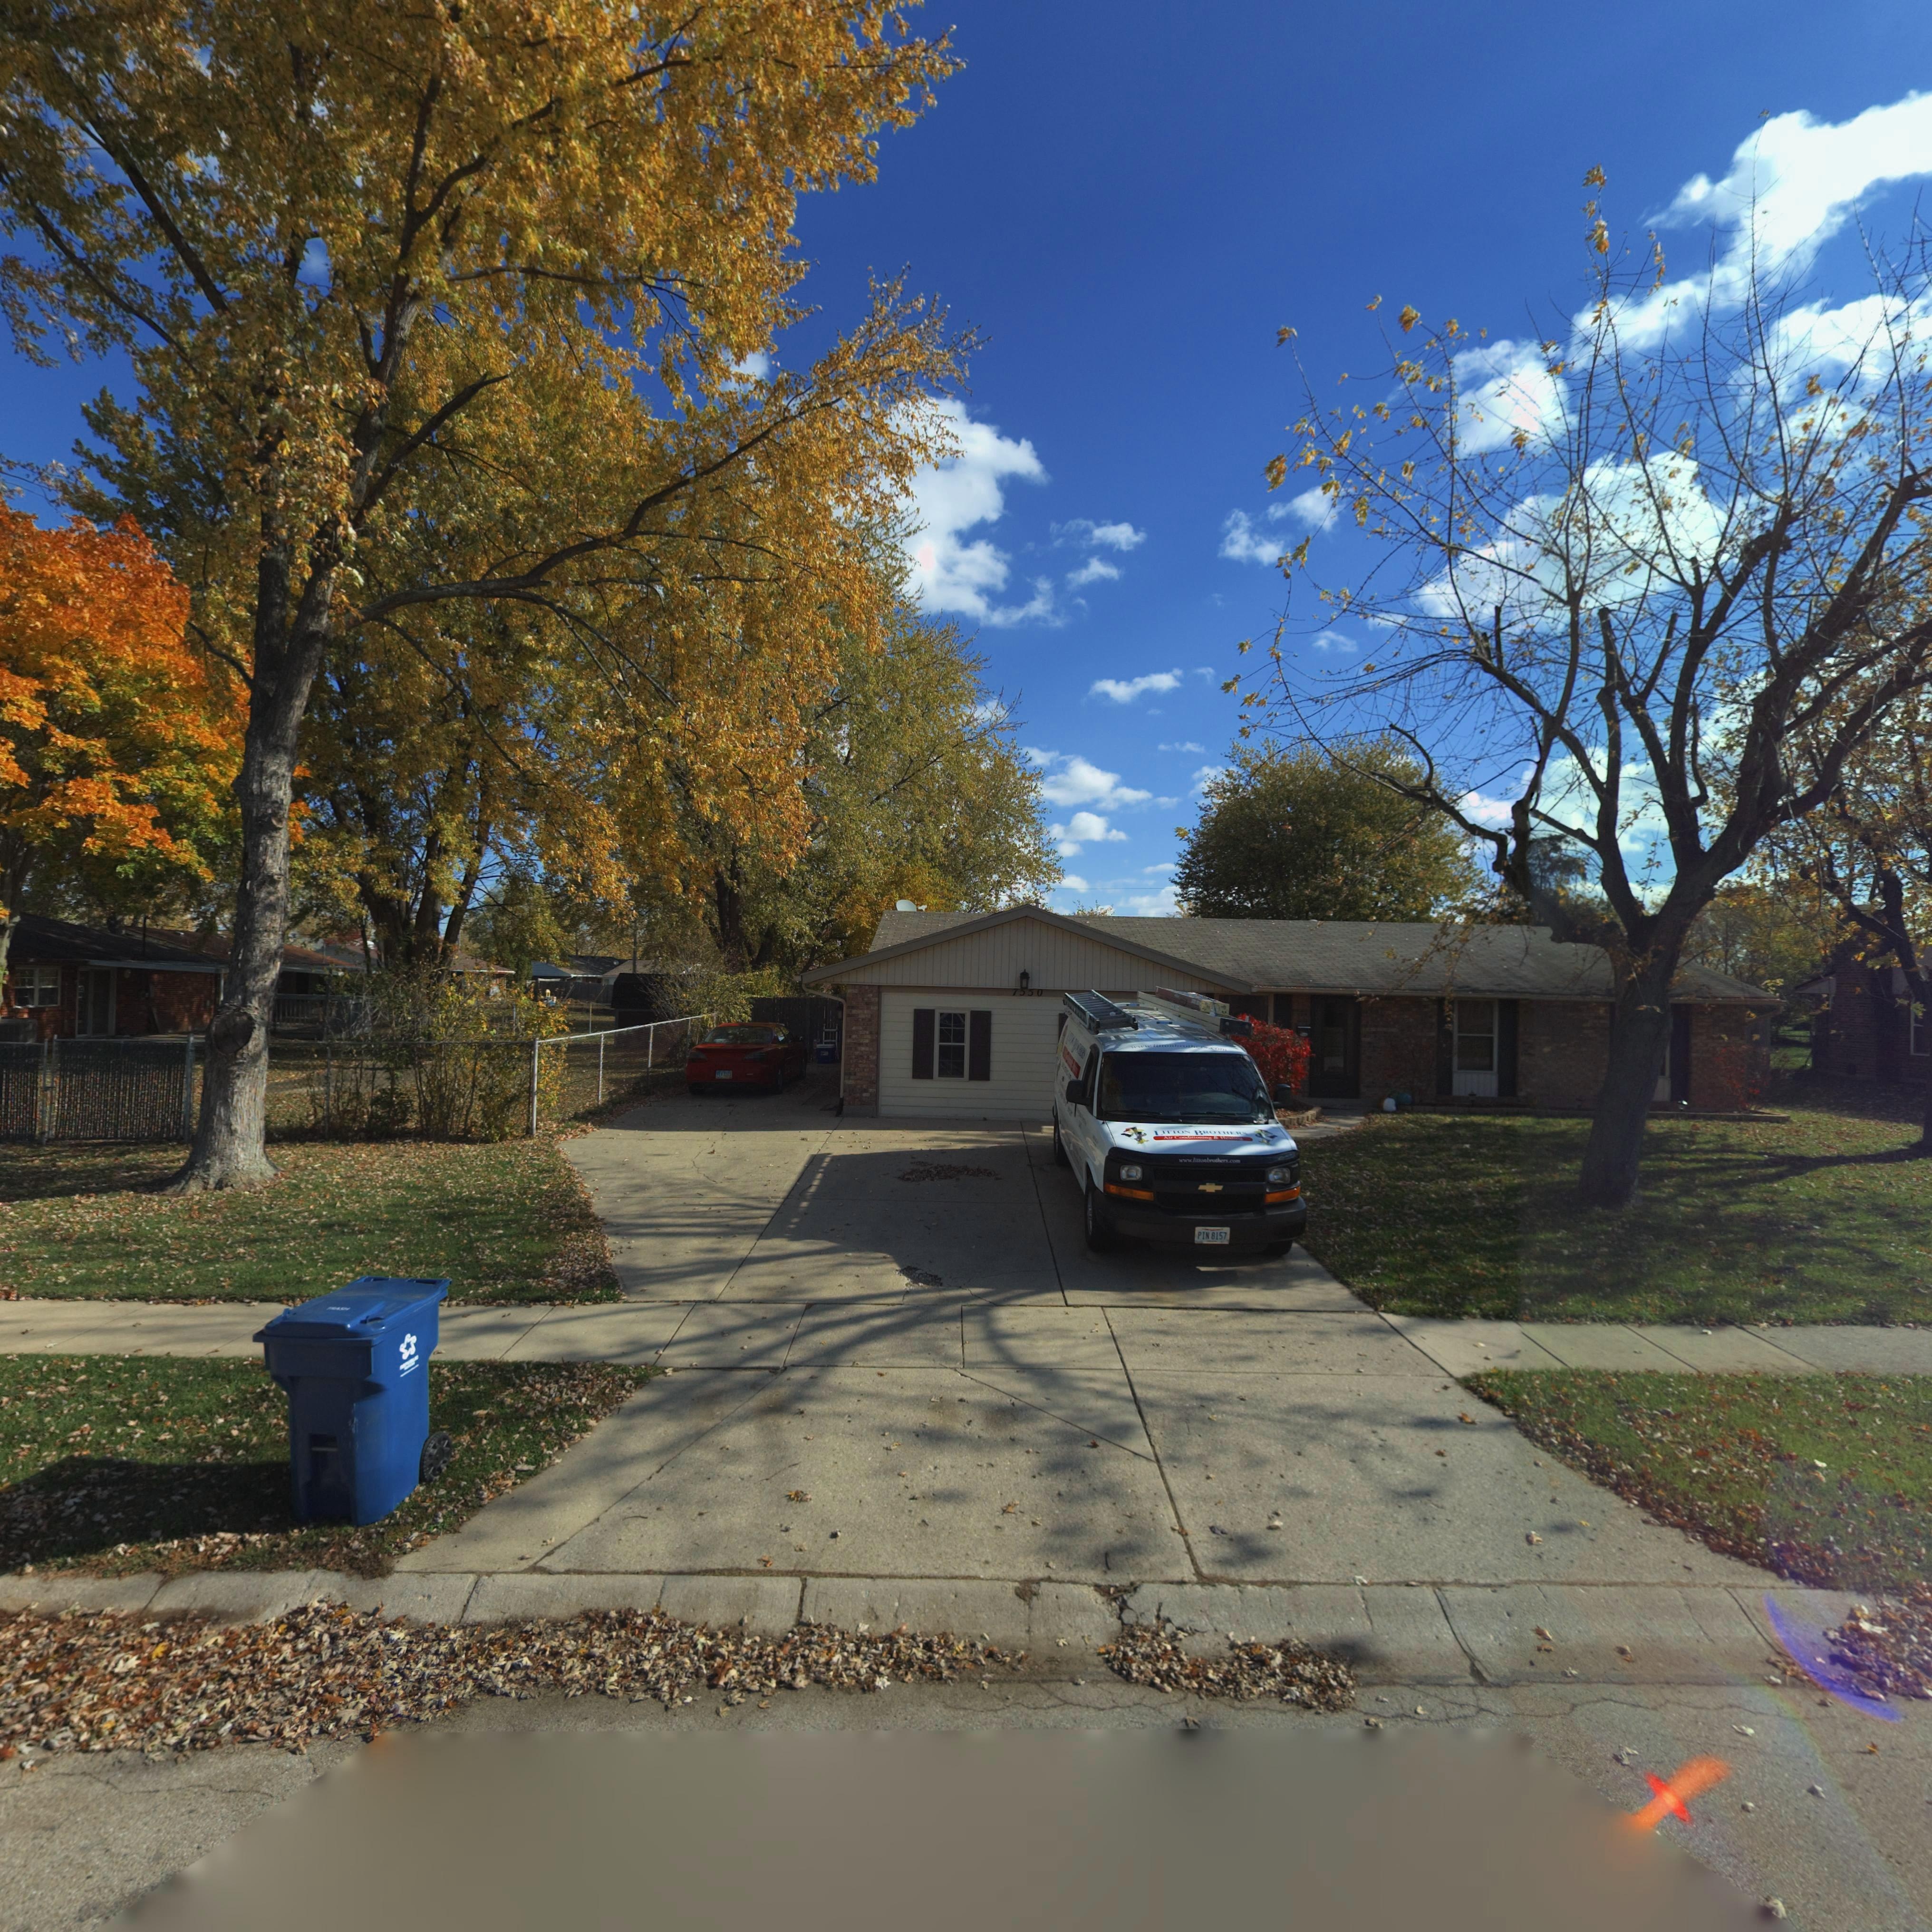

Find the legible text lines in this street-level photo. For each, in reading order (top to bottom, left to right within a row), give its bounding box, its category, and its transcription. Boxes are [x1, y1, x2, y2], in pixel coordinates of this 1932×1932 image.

[1011, 987, 1044, 997] StreetNumber: 7550